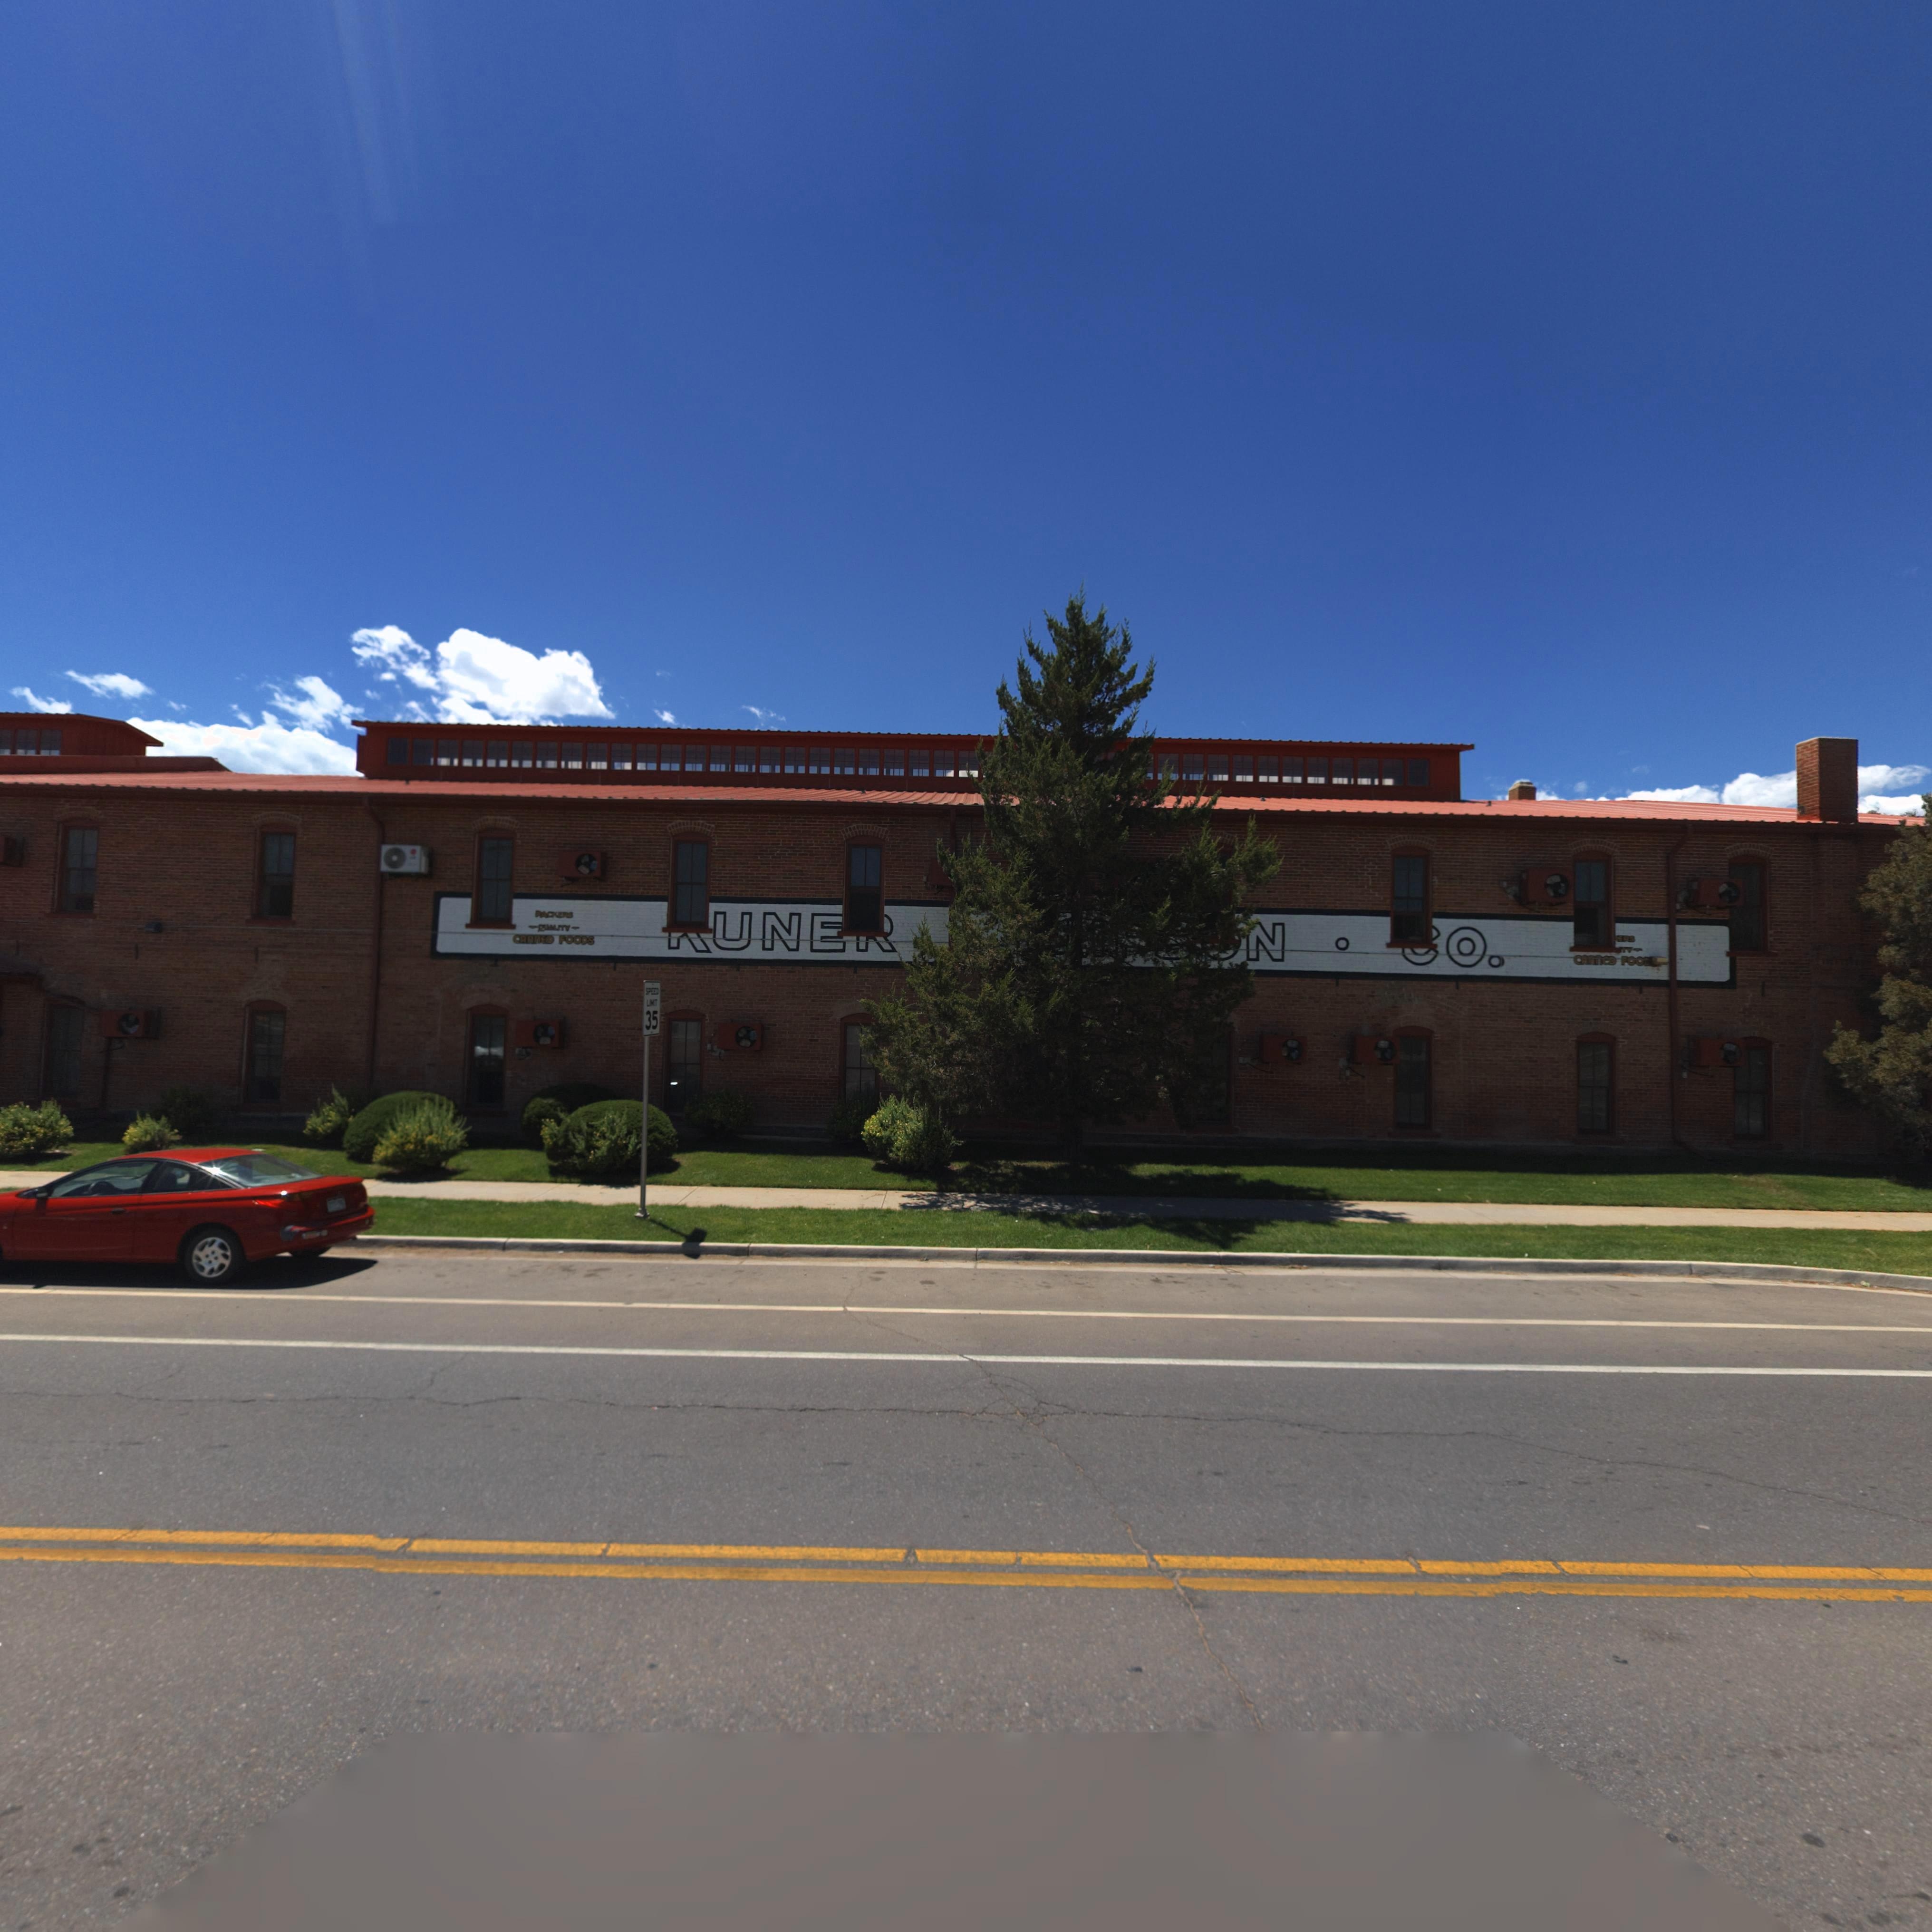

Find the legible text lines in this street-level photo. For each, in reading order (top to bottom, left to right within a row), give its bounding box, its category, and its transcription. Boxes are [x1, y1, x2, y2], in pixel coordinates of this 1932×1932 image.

[666, 908, 1506, 968] BusinessName: *UNER *****N *O.